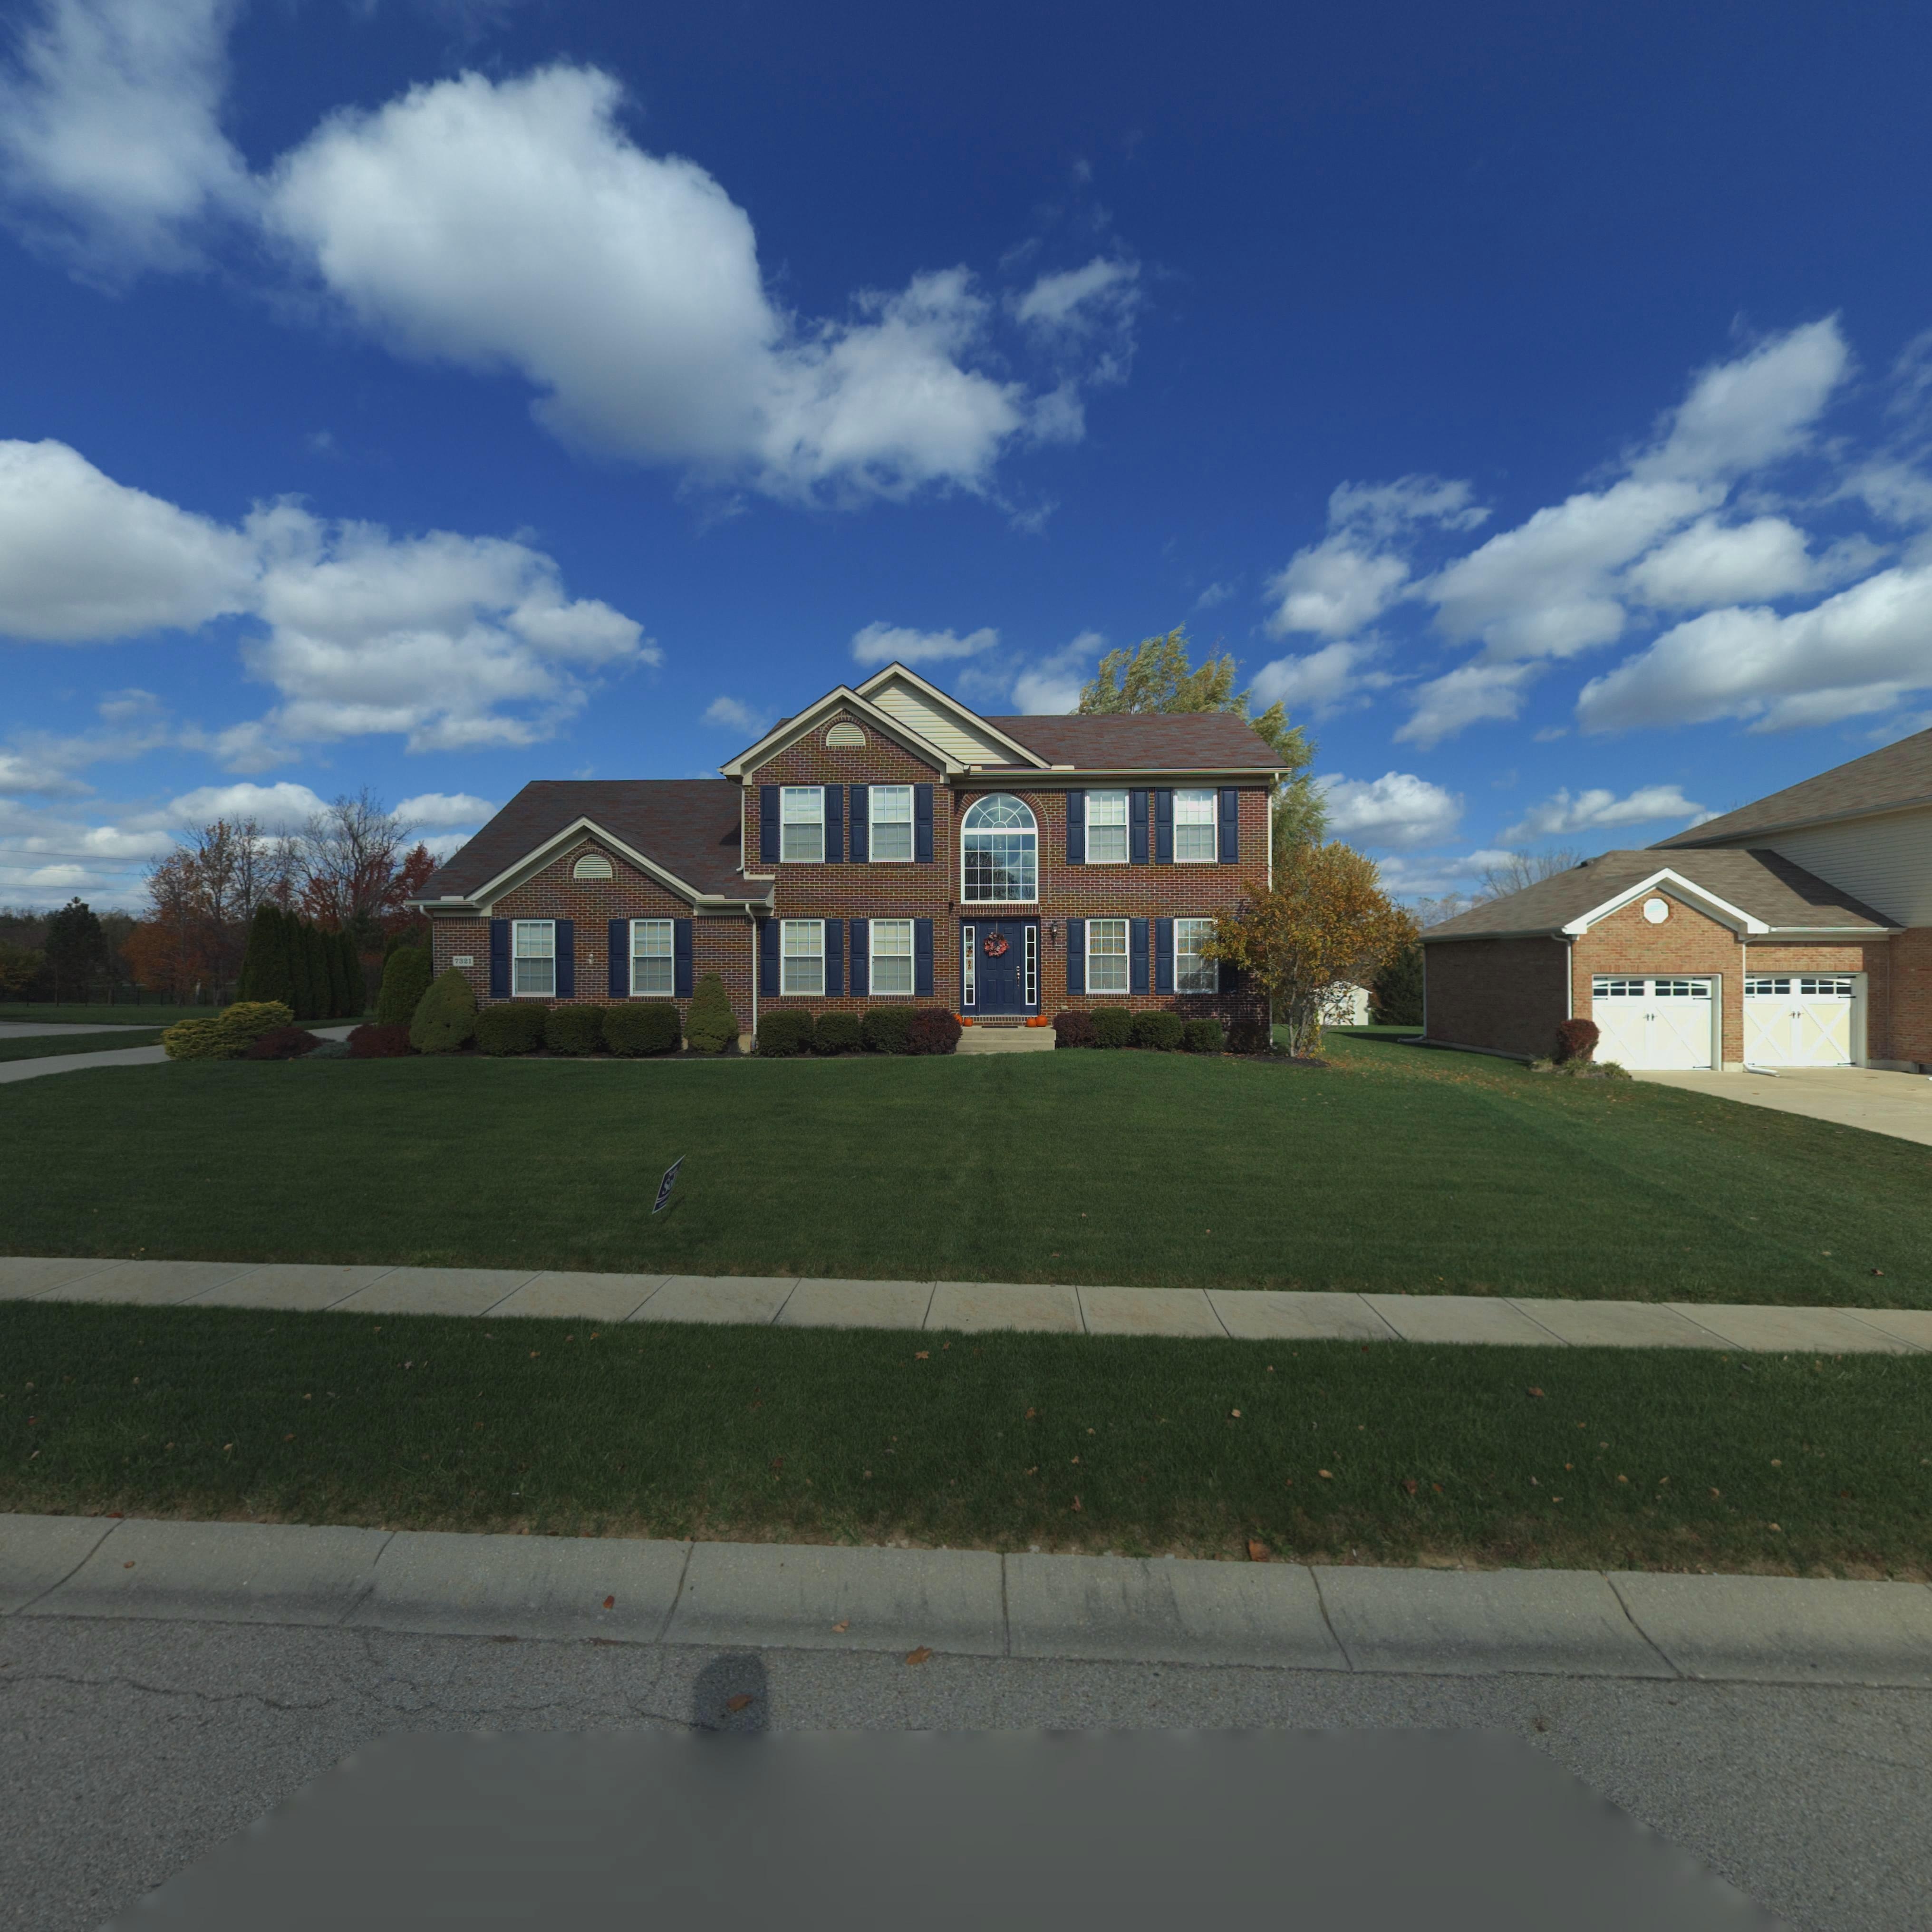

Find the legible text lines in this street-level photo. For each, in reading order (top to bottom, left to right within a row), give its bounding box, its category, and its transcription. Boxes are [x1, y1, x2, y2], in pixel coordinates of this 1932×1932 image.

[454, 957, 472, 965] StreetNumber: 7321